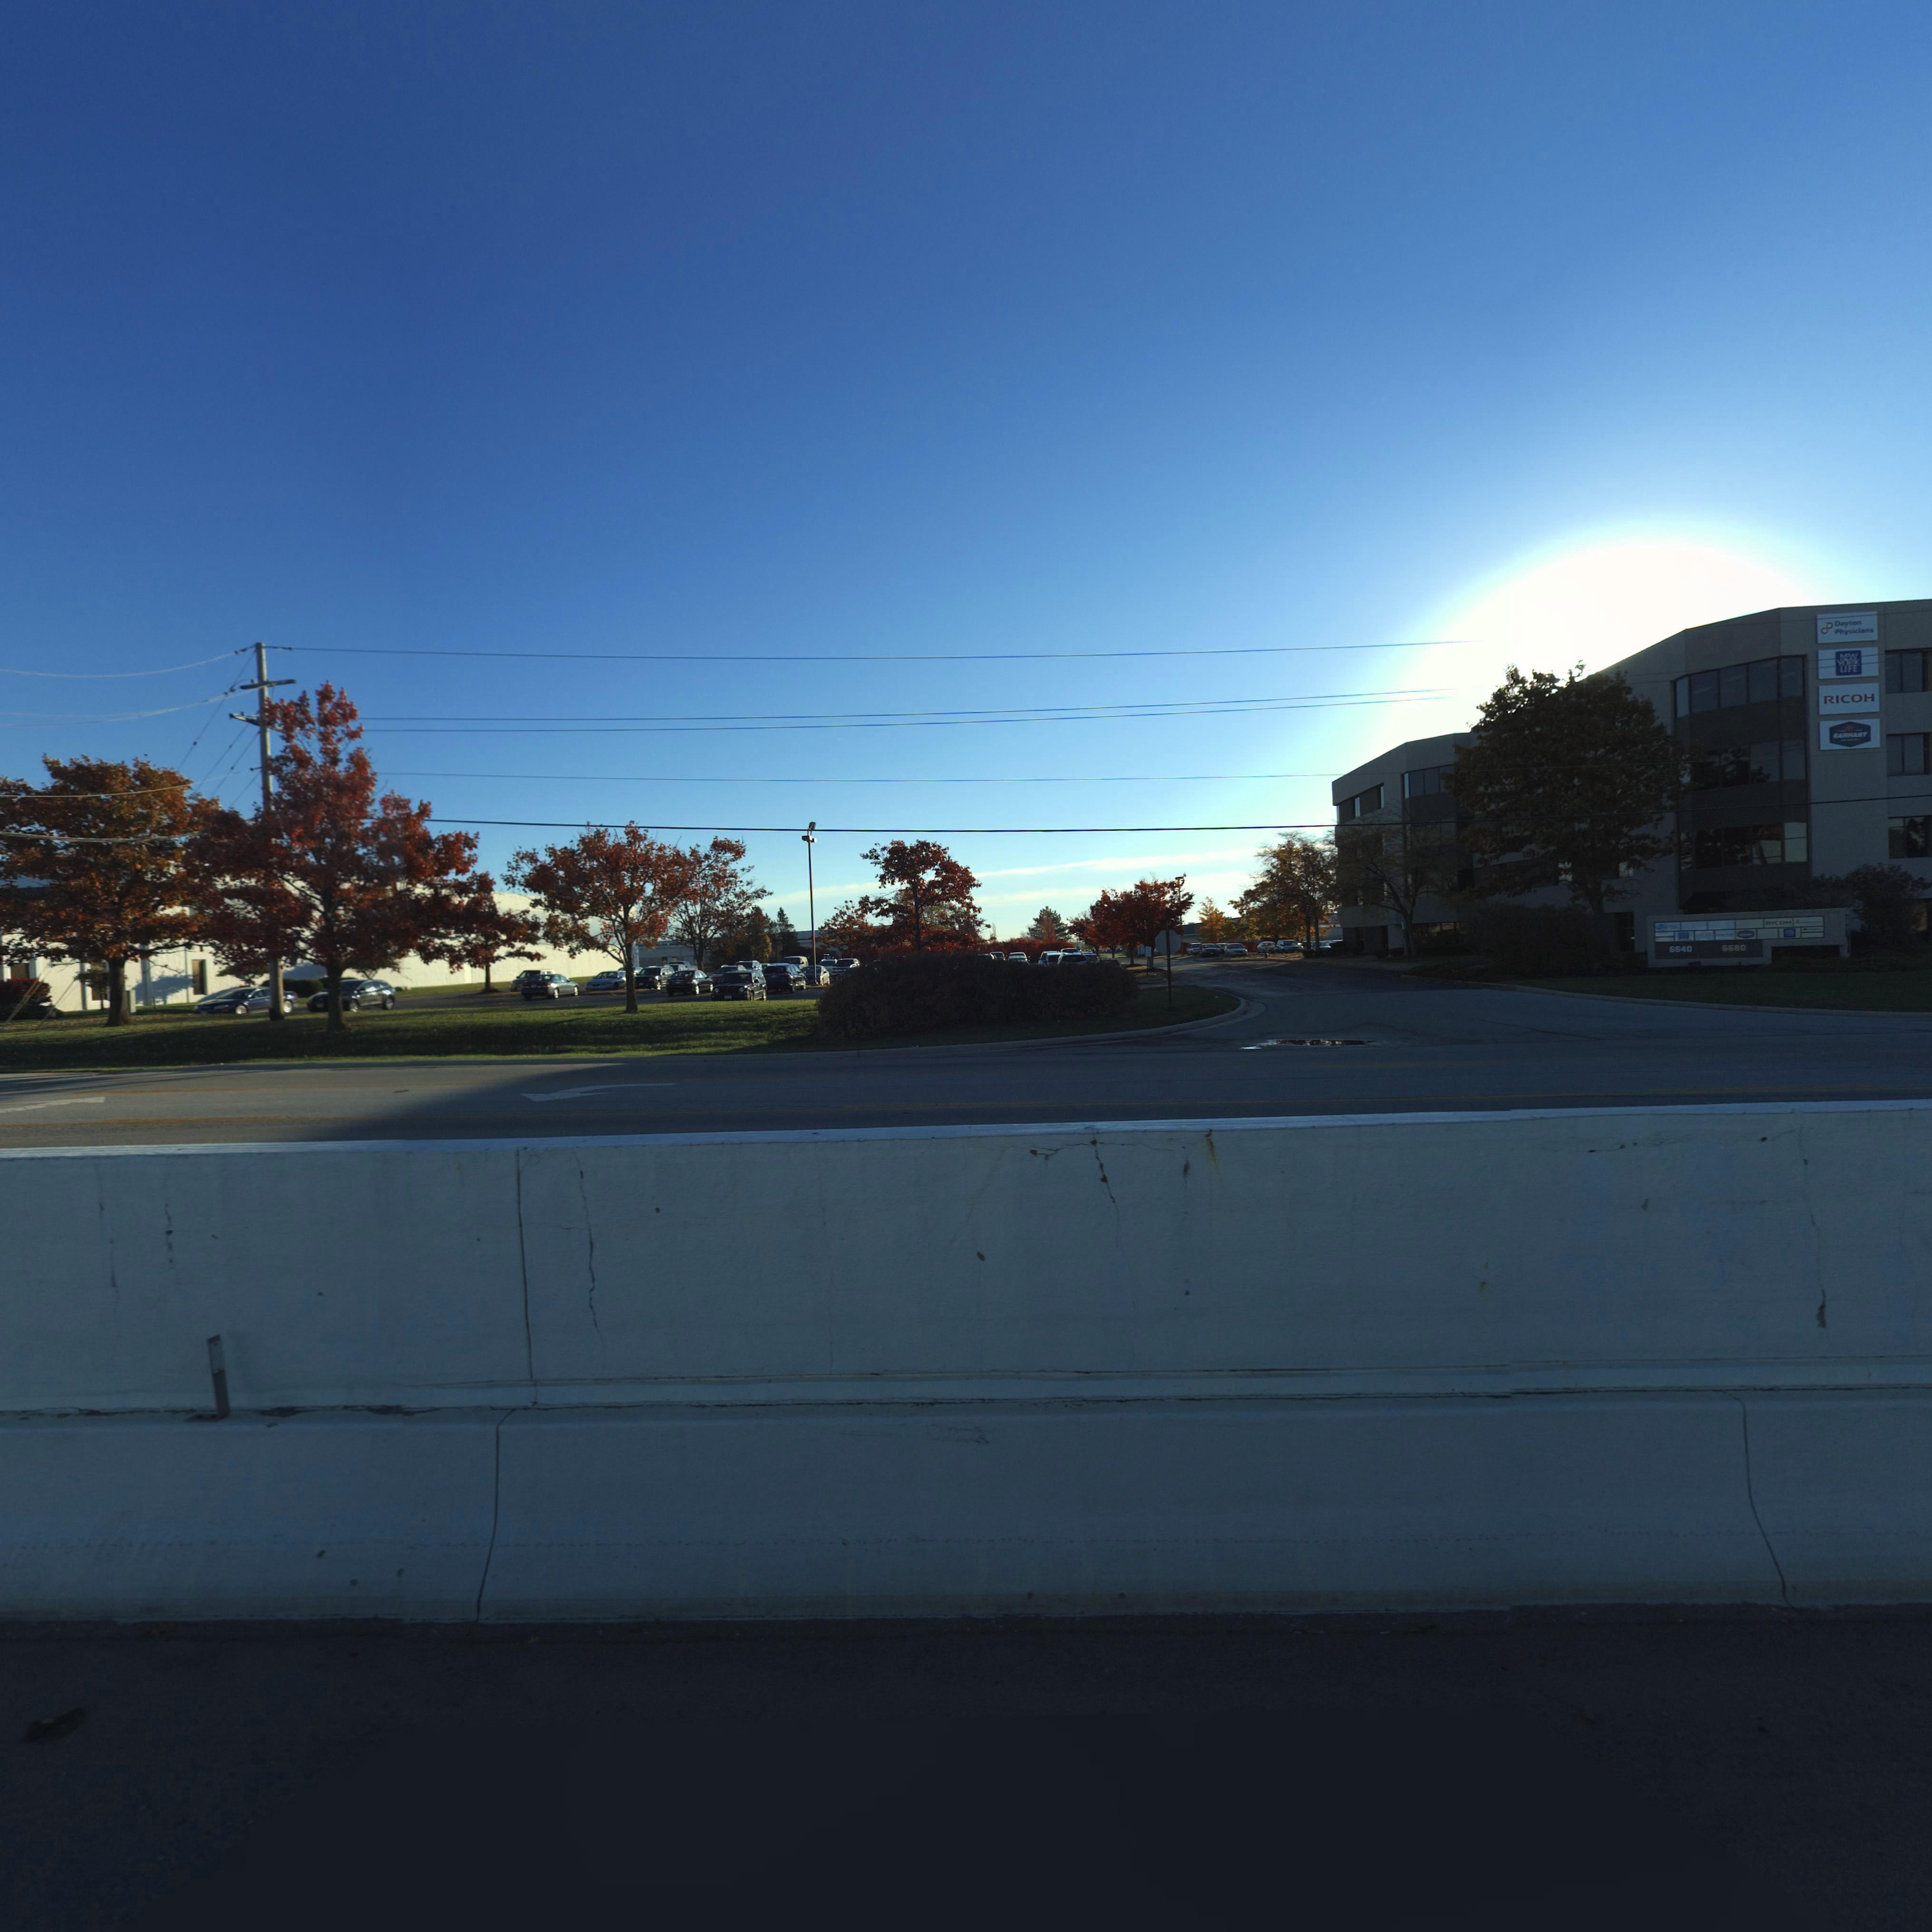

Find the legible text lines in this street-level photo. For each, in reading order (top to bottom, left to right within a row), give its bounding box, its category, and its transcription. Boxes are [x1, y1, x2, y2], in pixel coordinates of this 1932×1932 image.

[1834, 619, 1863, 627] None: Dayton
[1834, 627, 1874, 636] None: Physicians
[1838, 651, 1859, 662] None: NEW
[1836, 657, 1861, 667] None: YORK
[1838, 664, 1861, 674] None: LIFE
[1823, 692, 1876, 705] None: RICOH
[1832, 730, 1869, 739] None: EARHART
[1668, 944, 1693, 954] StreetNumber: 6640
[1721, 943, 1747, 953] StreetNumber: 6680